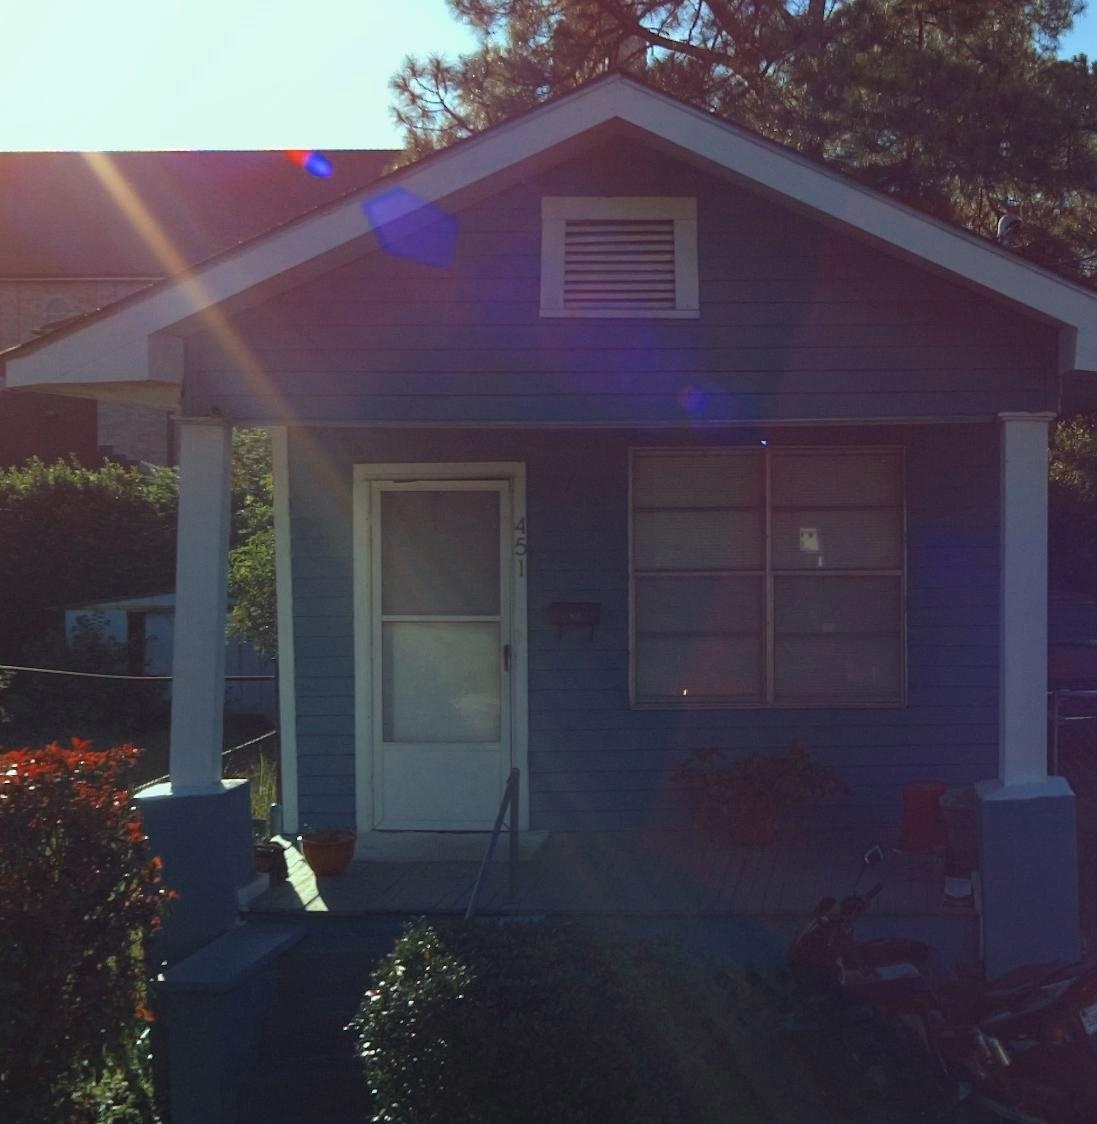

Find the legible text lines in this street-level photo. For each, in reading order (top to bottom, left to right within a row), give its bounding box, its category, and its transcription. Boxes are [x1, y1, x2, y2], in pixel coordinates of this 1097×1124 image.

[511, 513, 530, 579] StreetNumber: 451